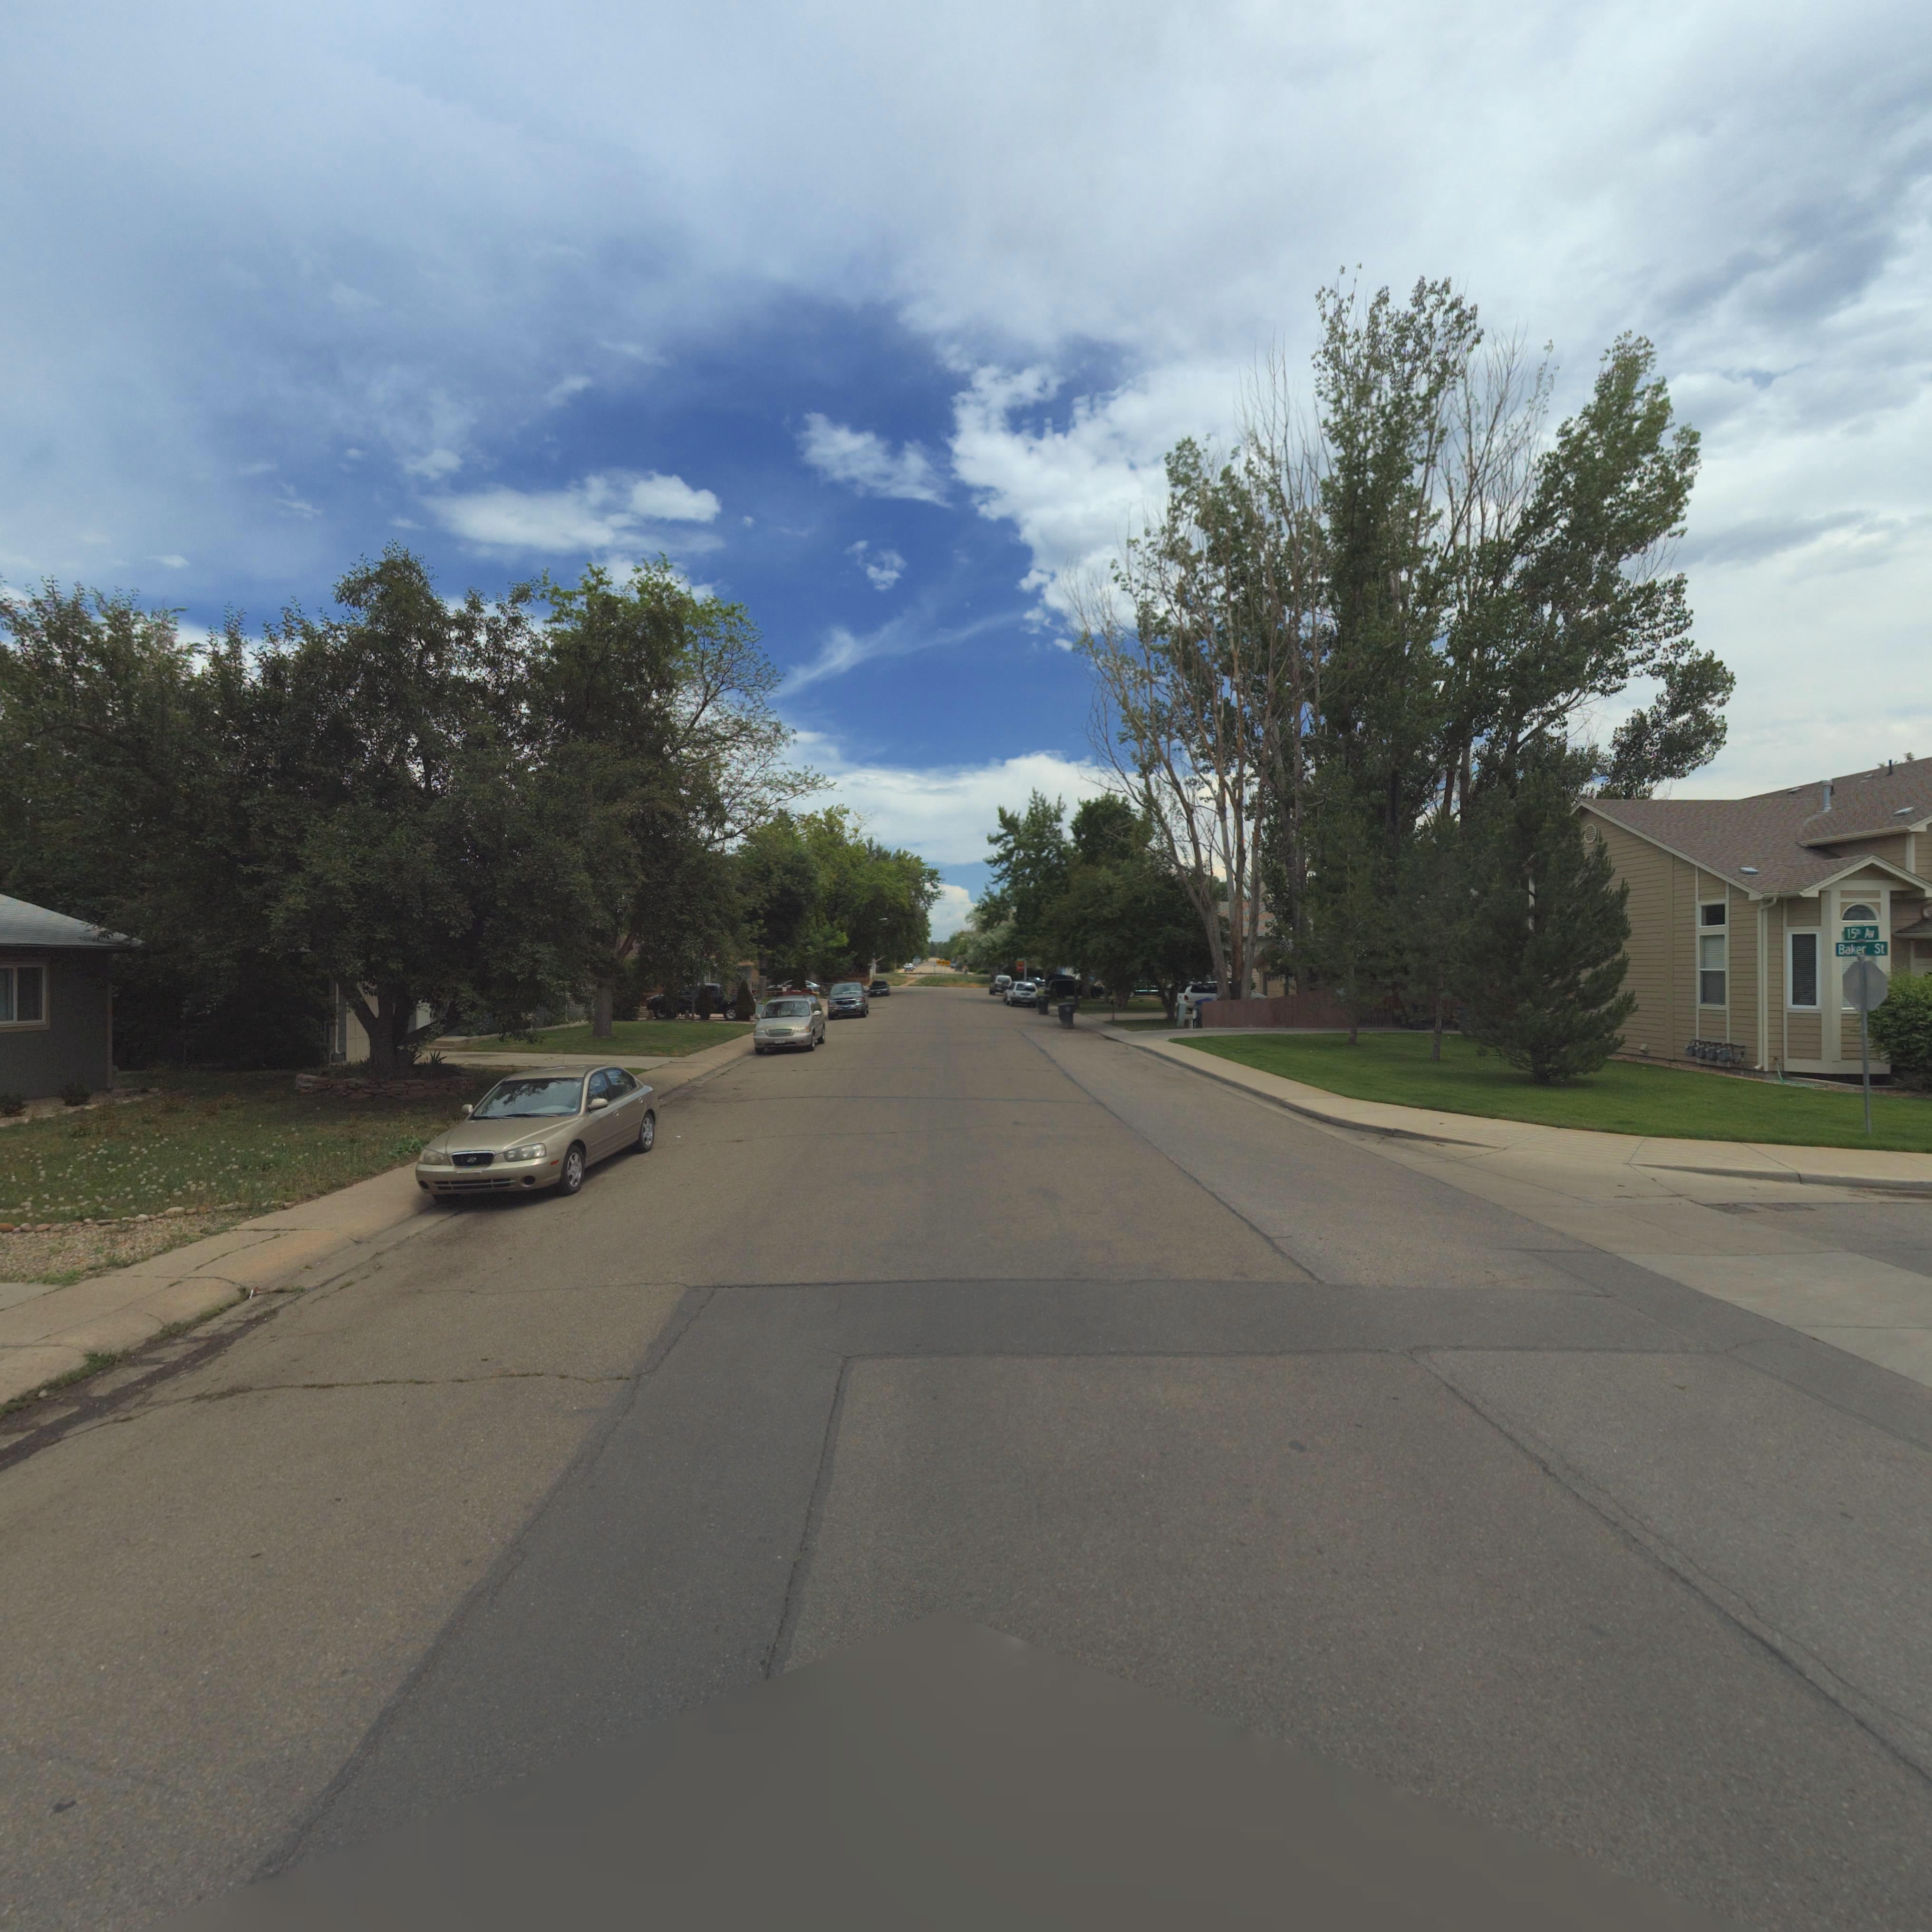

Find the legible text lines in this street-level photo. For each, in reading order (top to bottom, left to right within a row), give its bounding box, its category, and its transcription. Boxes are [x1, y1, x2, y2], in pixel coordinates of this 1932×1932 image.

[1837, 943, 1884, 955] StreetName: Baker St